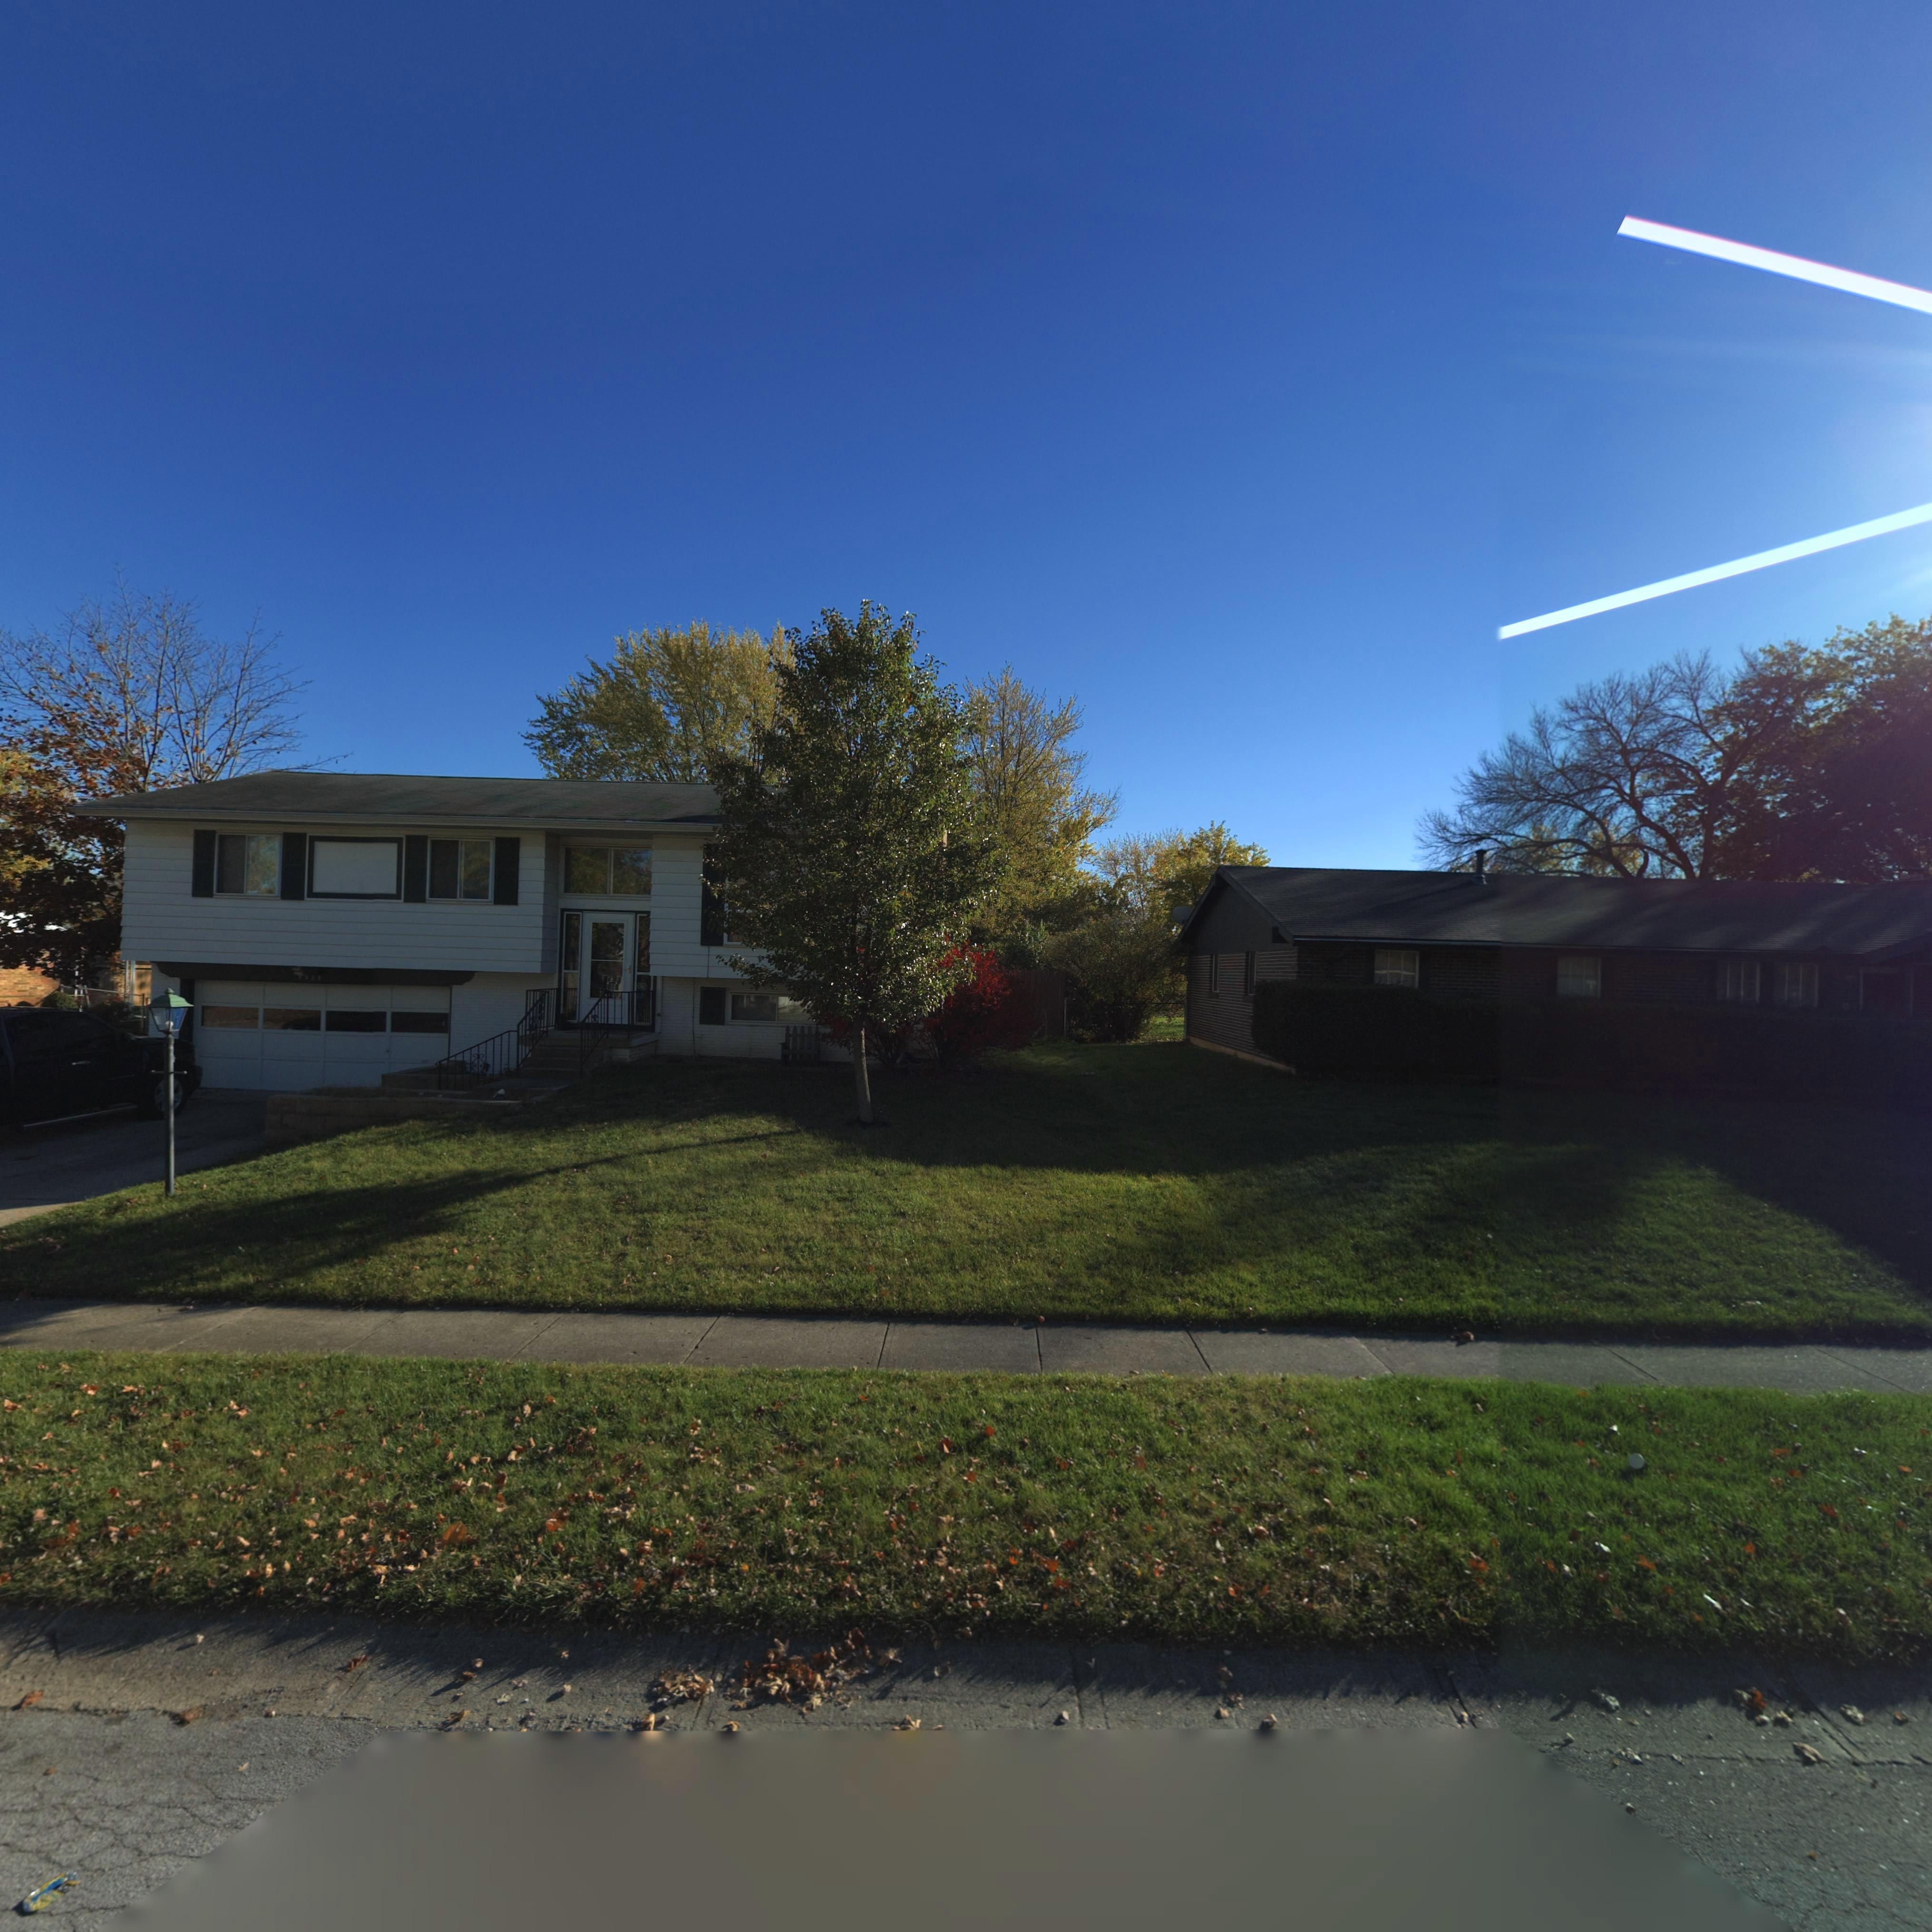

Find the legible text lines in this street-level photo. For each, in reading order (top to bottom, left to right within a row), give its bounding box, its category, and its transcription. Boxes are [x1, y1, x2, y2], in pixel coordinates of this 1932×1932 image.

[298, 974, 322, 982] StreetNumber: *920